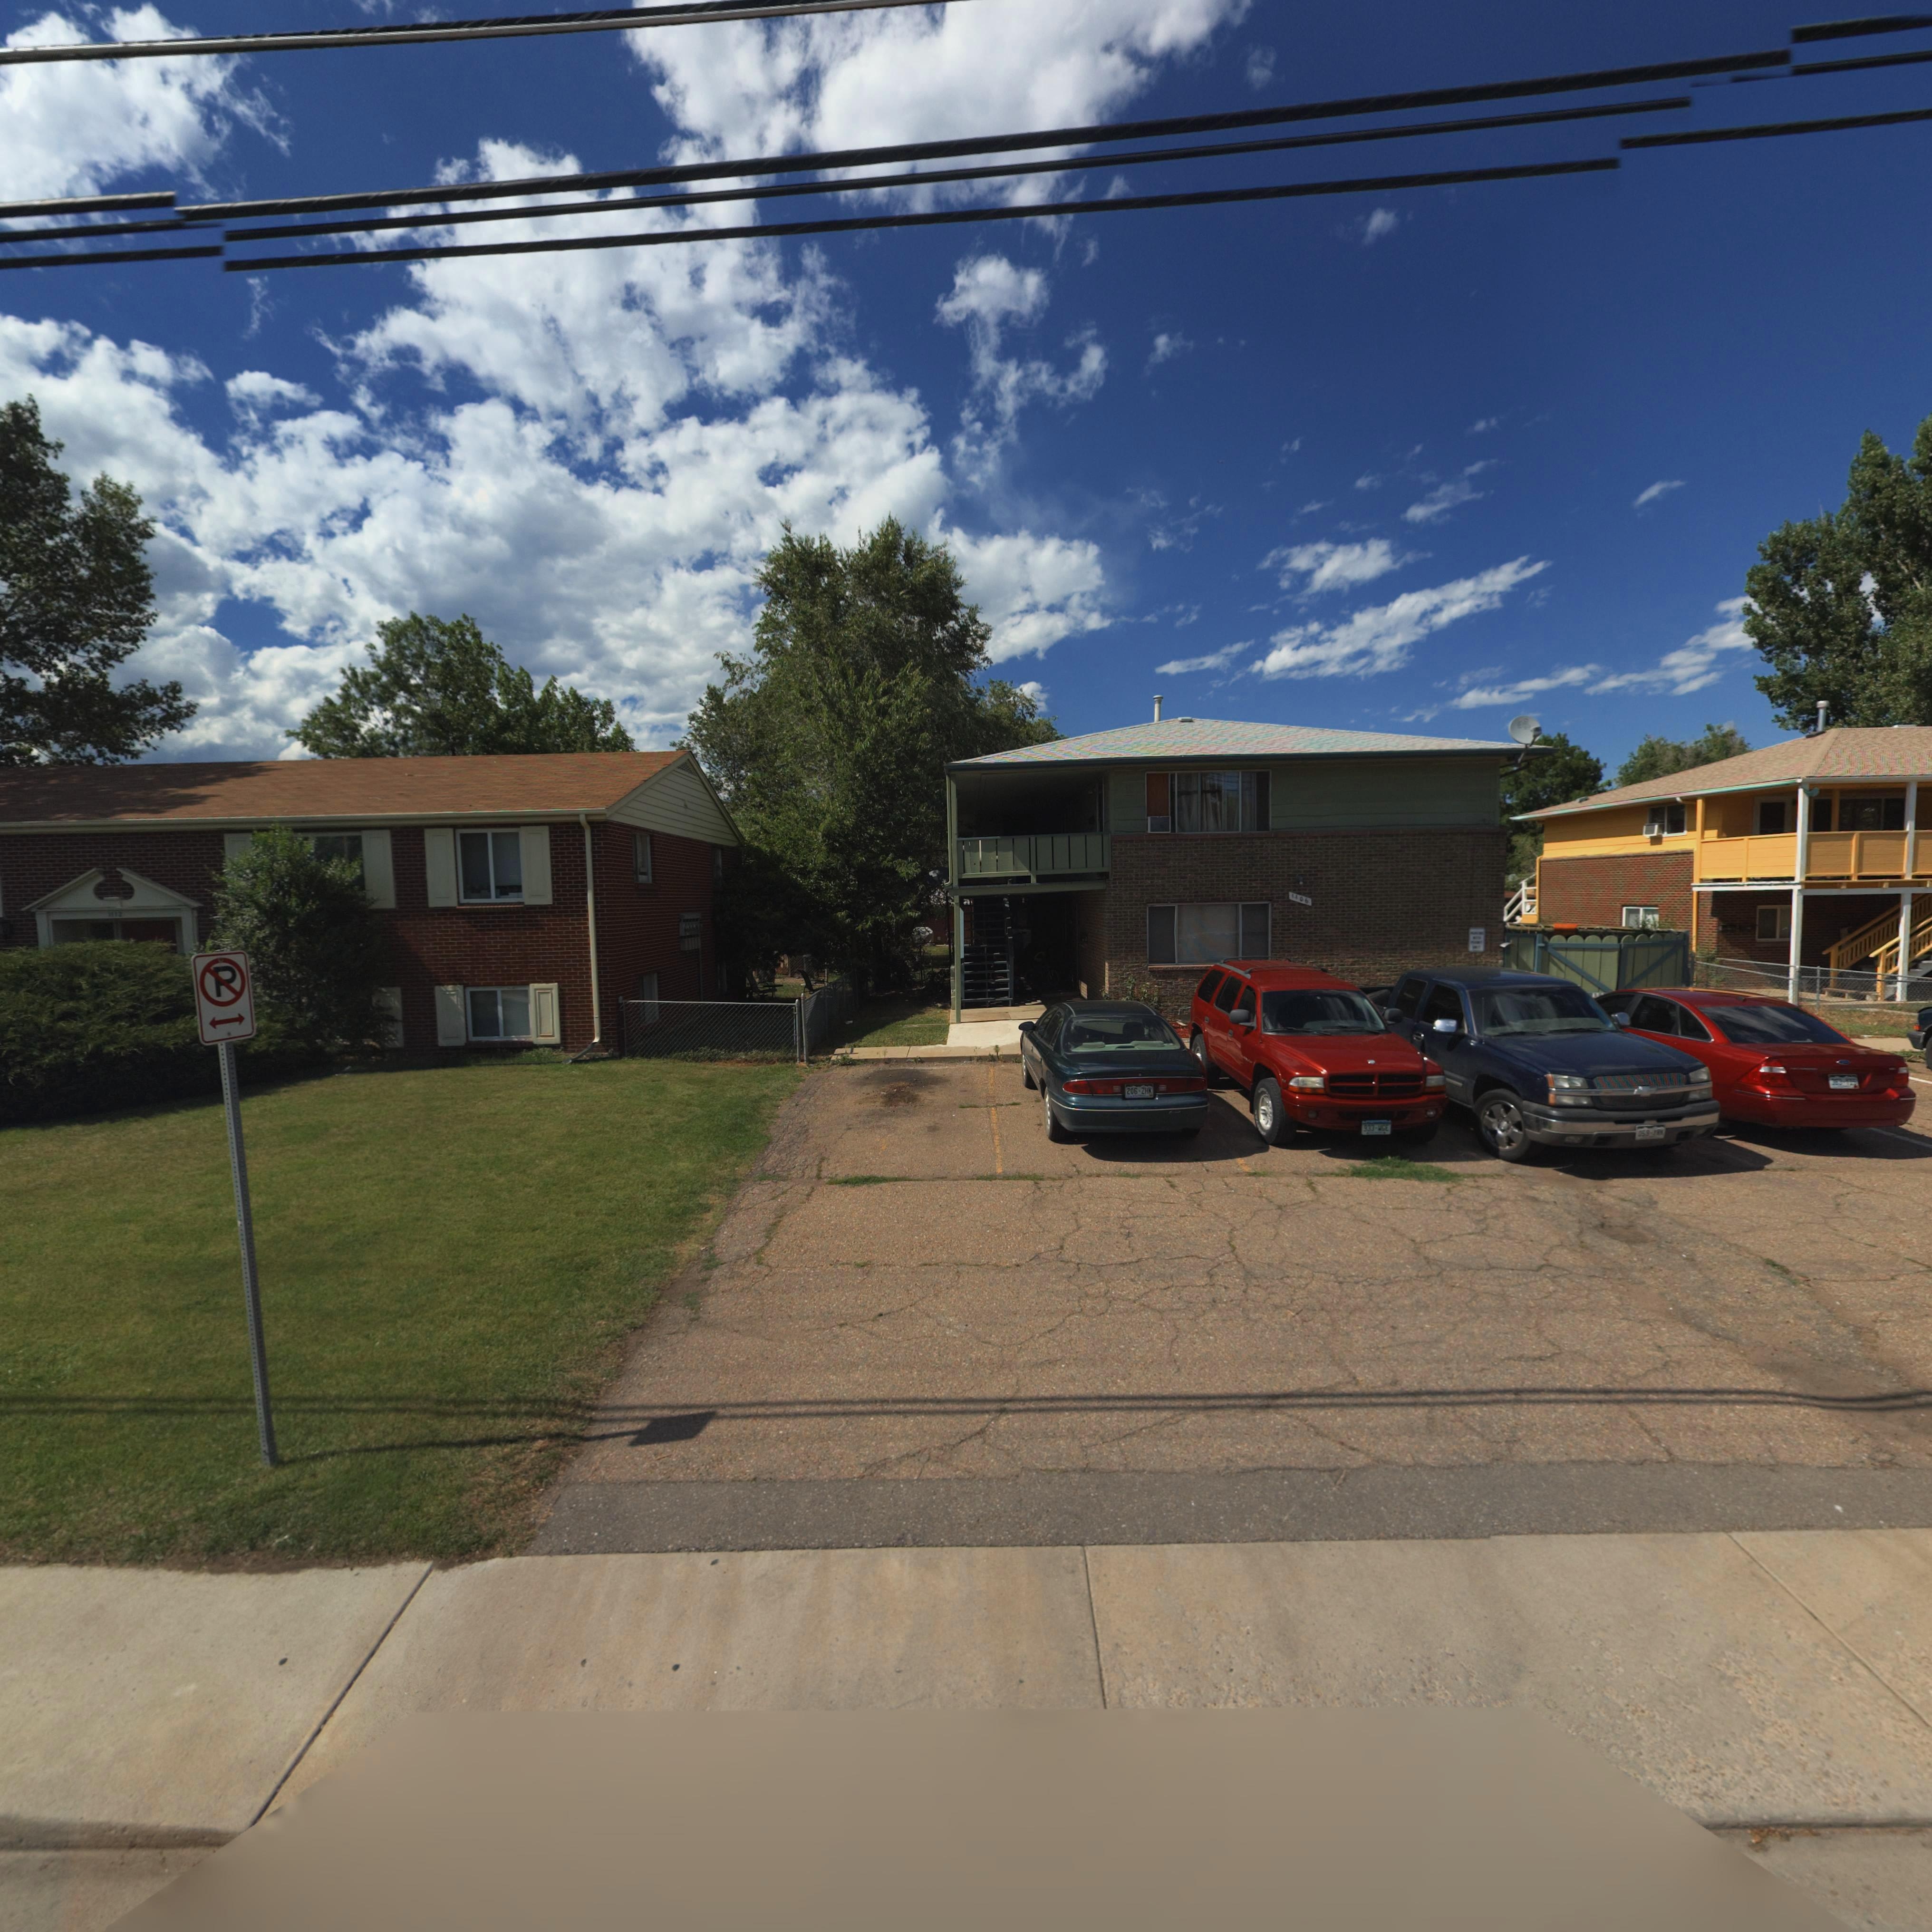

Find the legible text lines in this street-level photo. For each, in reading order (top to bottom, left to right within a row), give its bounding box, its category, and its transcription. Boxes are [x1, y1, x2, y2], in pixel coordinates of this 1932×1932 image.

[1291, 893, 1309, 904] StreetNumber: 1106
[107, 910, 123, 918] StreetNumber: 1112